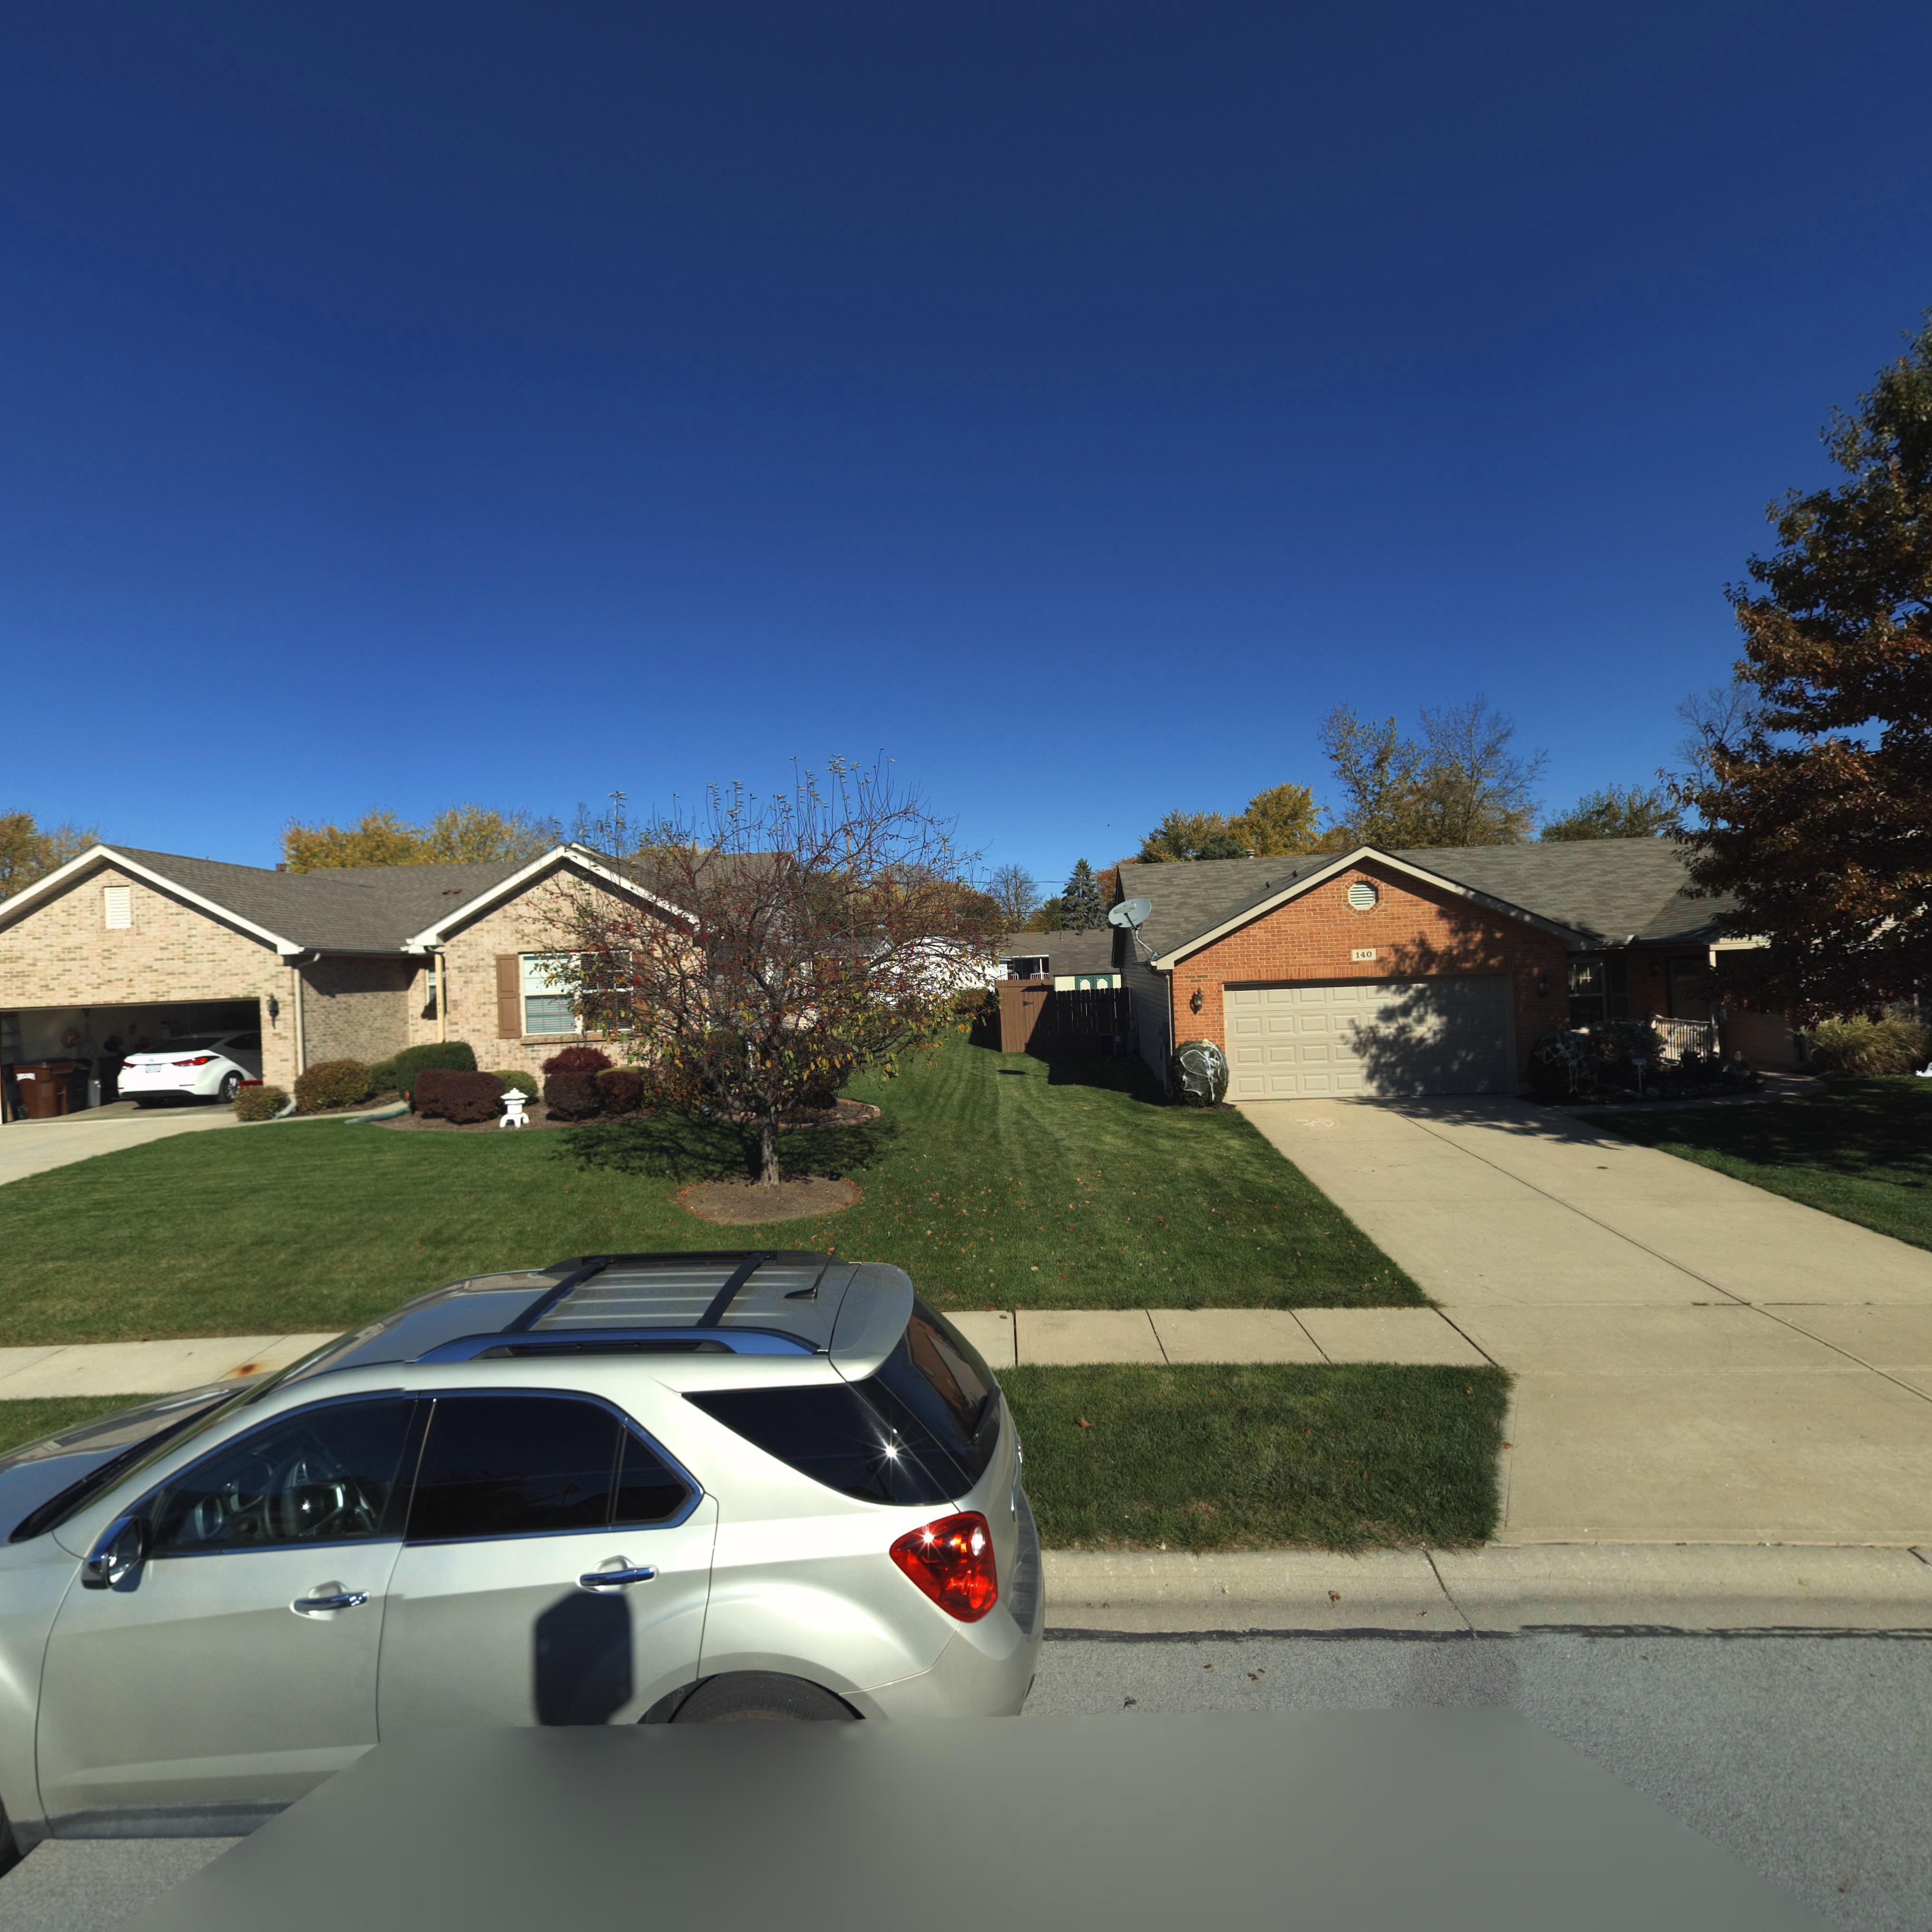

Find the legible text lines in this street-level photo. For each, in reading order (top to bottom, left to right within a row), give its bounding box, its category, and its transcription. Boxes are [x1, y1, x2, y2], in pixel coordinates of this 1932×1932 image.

[1355, 951, 1372, 958] StreetNumber: 140